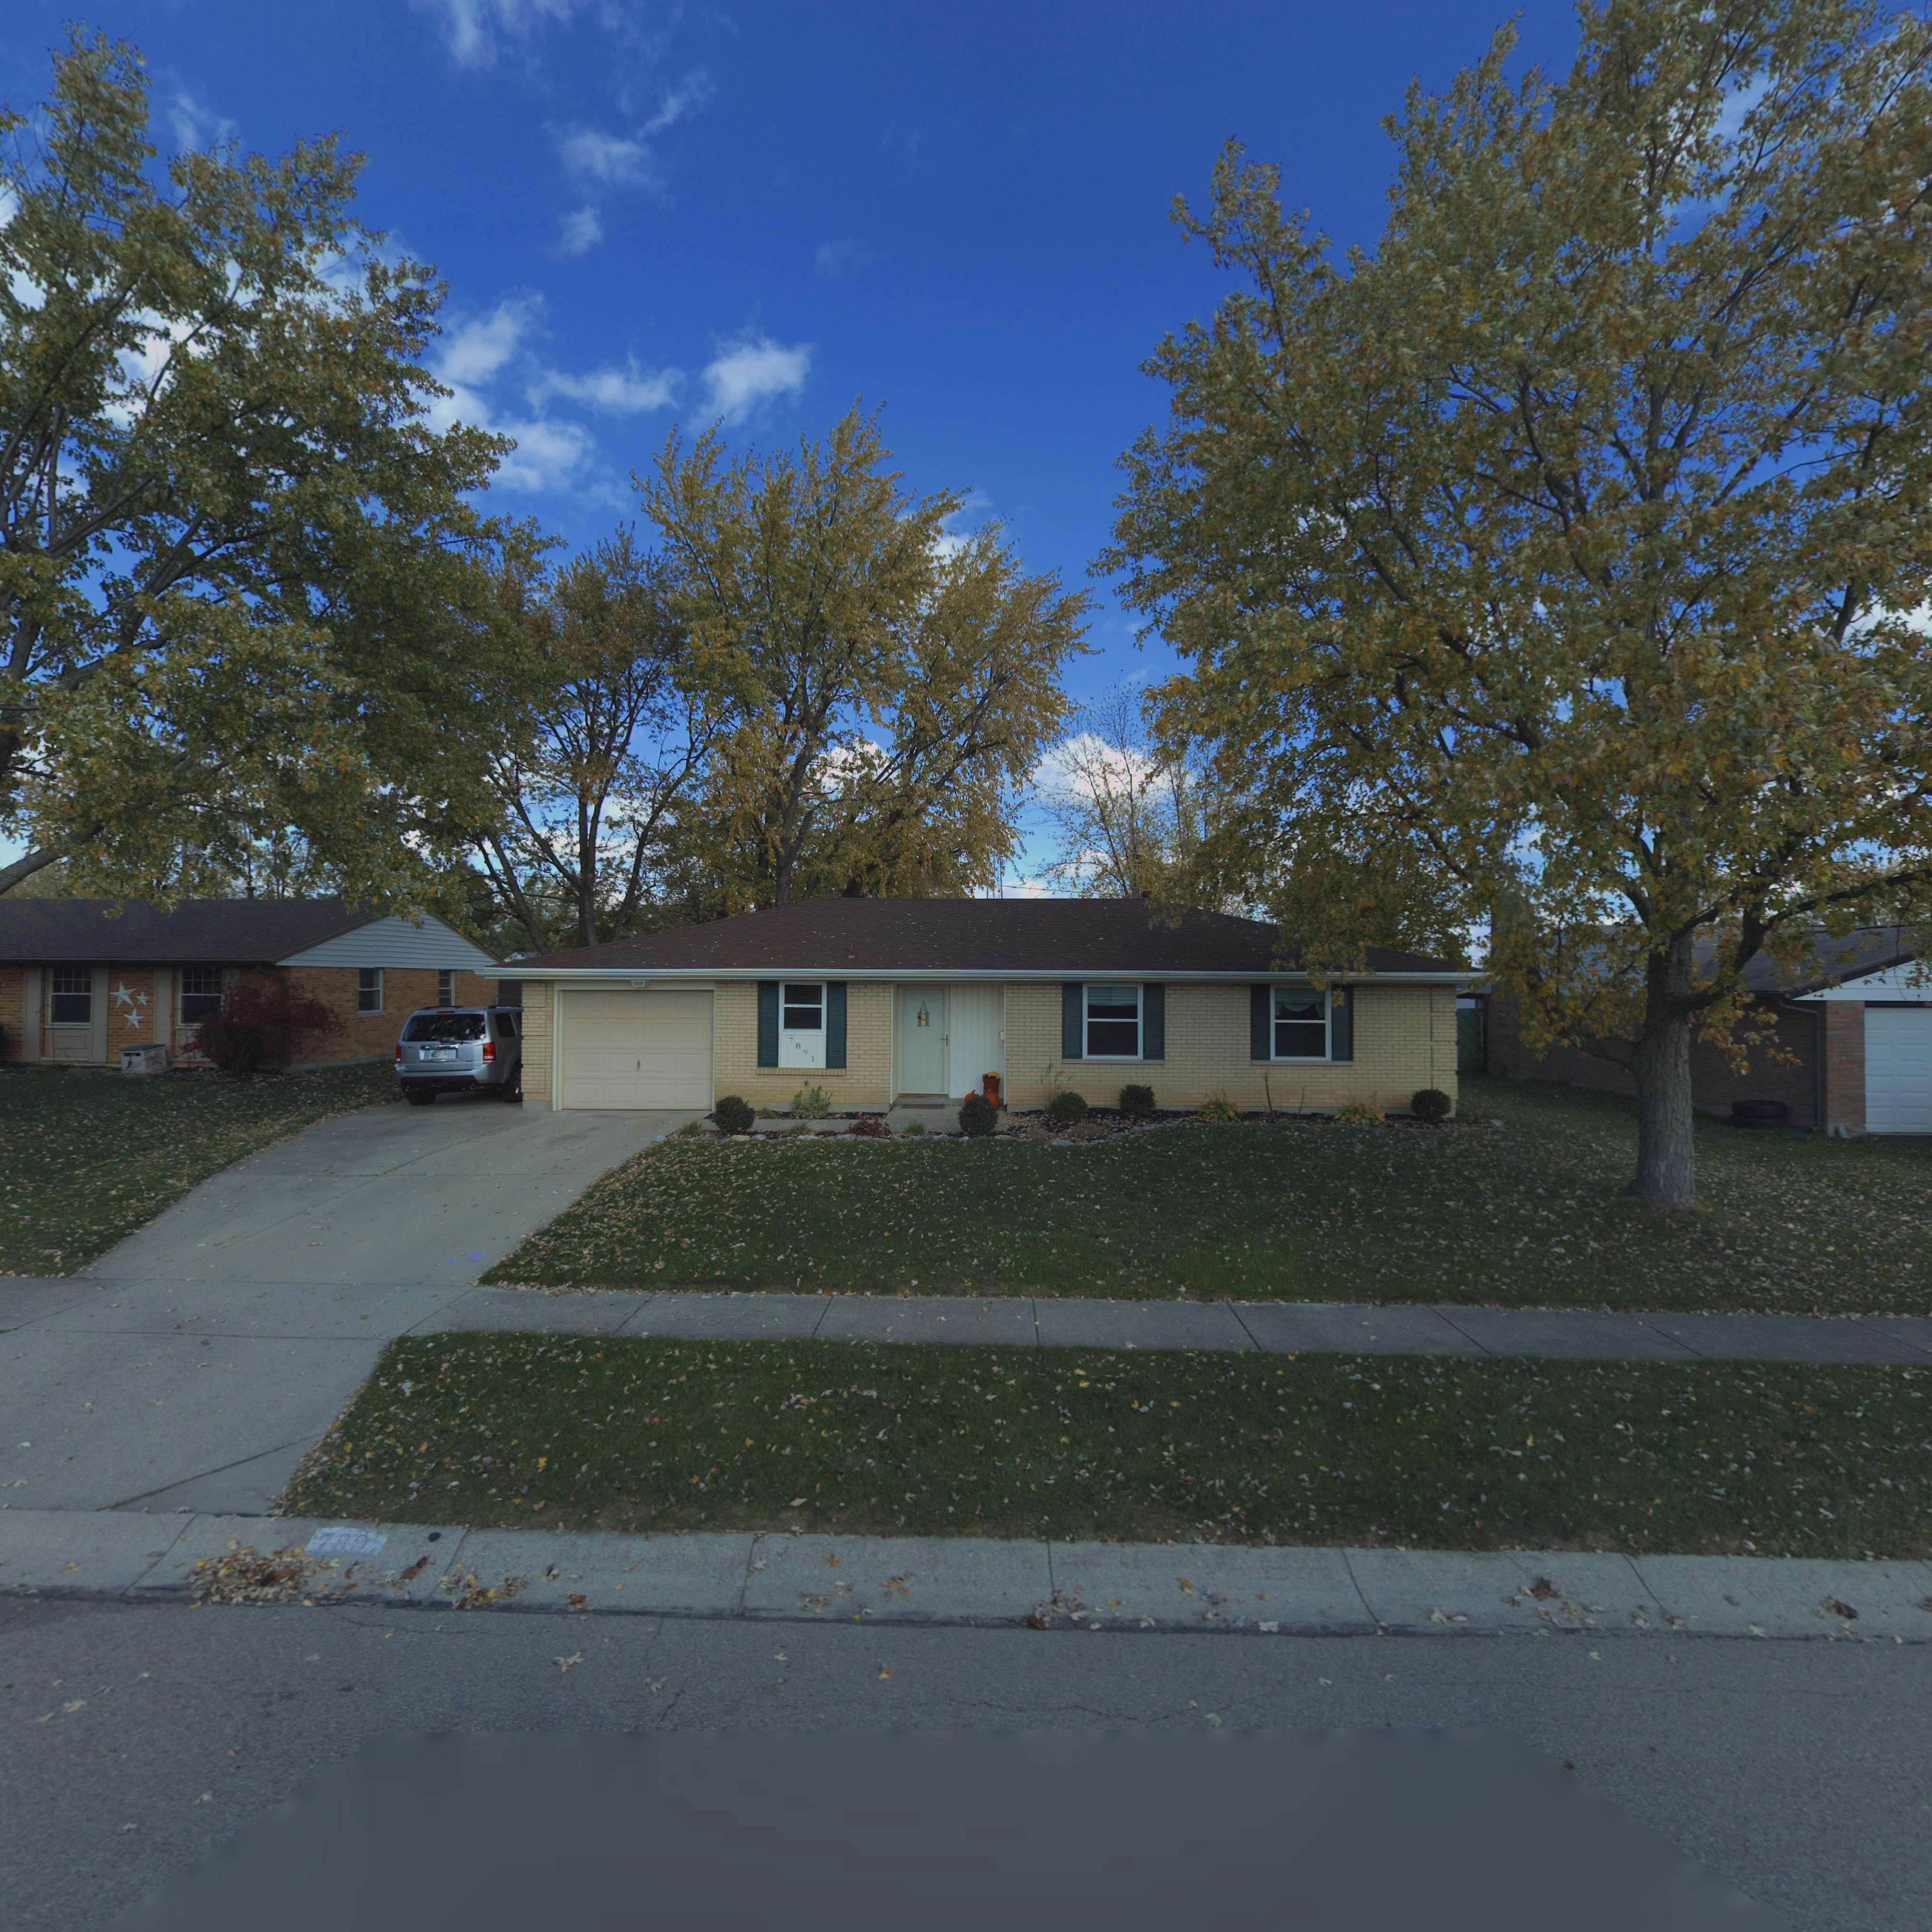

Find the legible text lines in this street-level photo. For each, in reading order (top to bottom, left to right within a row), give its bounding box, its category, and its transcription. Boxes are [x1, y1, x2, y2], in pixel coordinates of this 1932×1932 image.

[789, 1037, 814, 1063] StreetNumber: 7891
[314, 1531, 384, 1555] StreetNumber: 7891